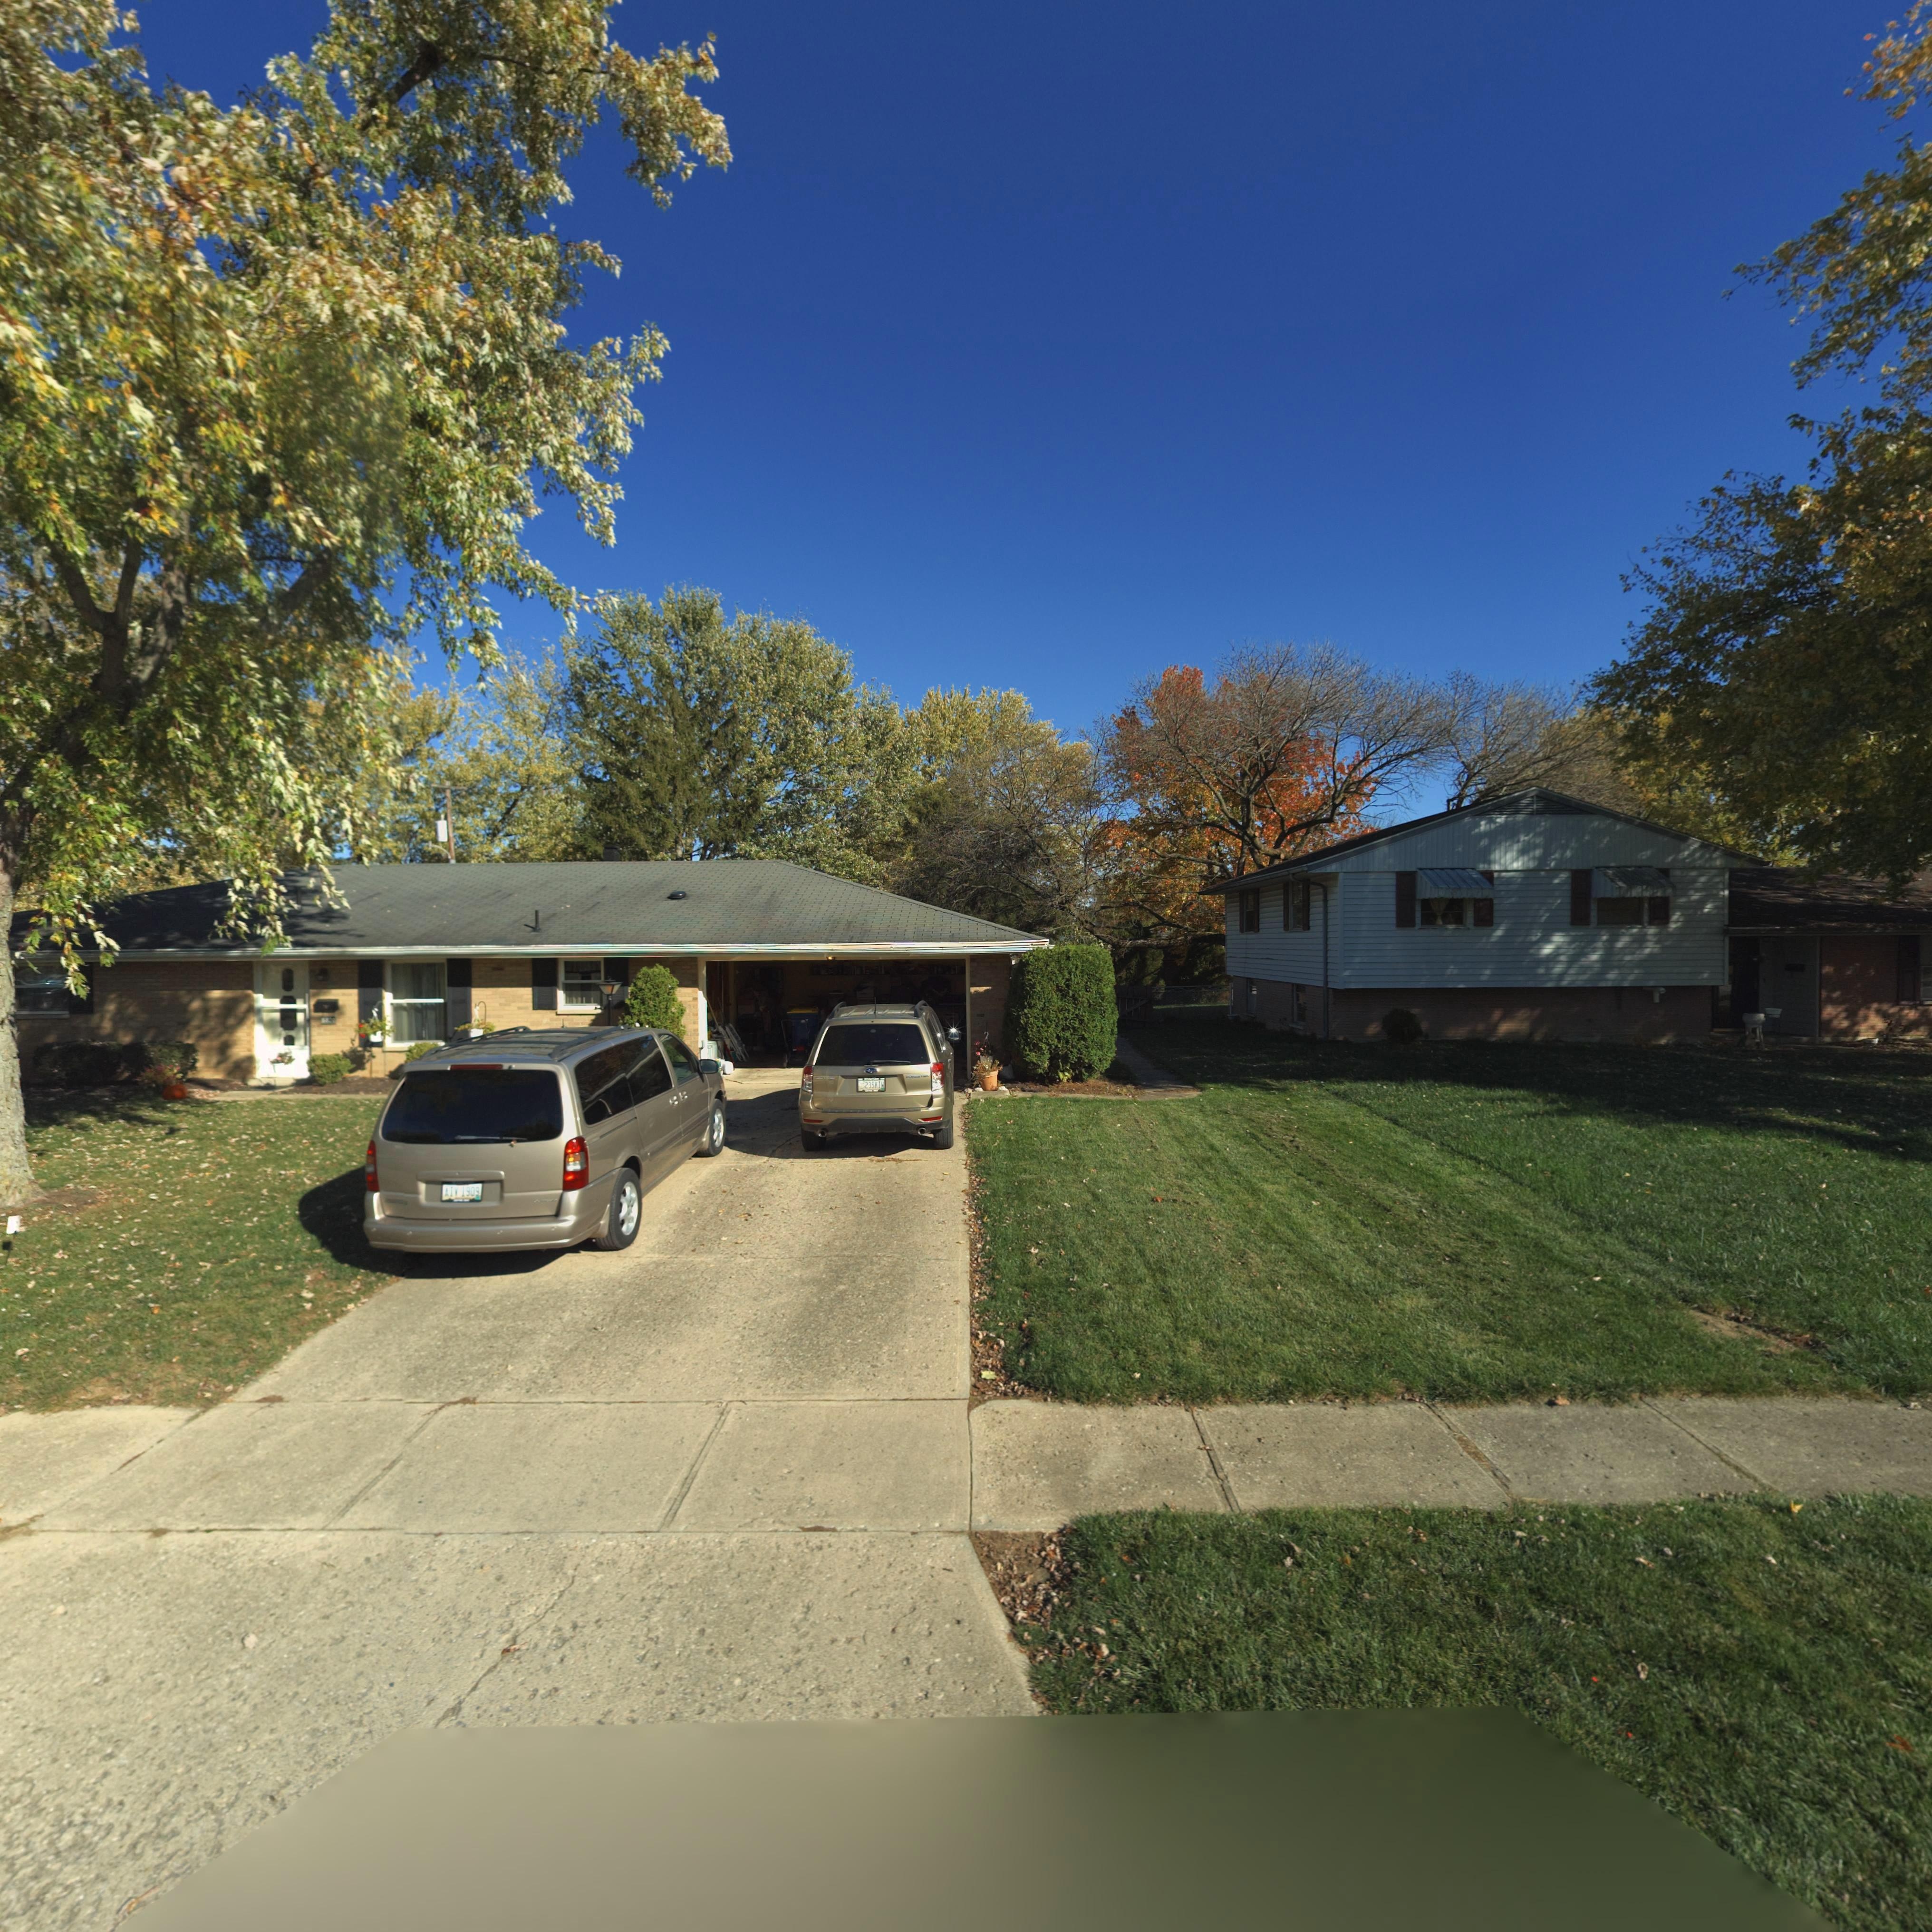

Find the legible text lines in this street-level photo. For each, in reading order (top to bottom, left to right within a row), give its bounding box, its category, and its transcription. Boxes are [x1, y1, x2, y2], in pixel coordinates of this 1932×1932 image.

[321, 1017, 336, 1024] StreetNumber: 682*